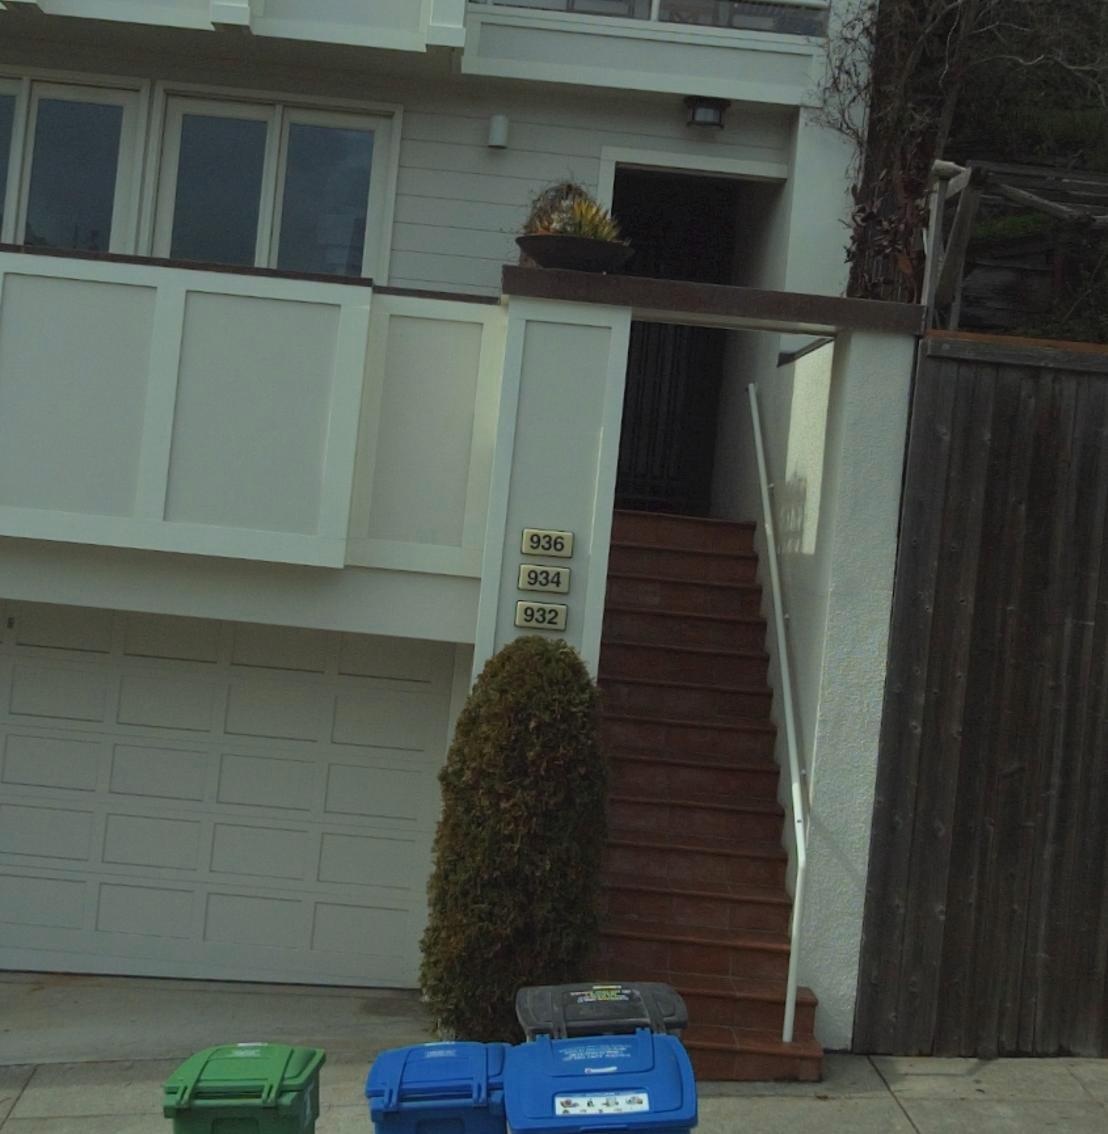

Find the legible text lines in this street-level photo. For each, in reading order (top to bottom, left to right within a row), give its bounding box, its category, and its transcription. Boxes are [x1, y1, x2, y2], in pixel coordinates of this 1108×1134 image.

[528, 532, 567, 553] StreetNumber: 936
[525, 567, 562, 589] StreetNumber: 934
[522, 605, 559, 627] StreetNumber: 932